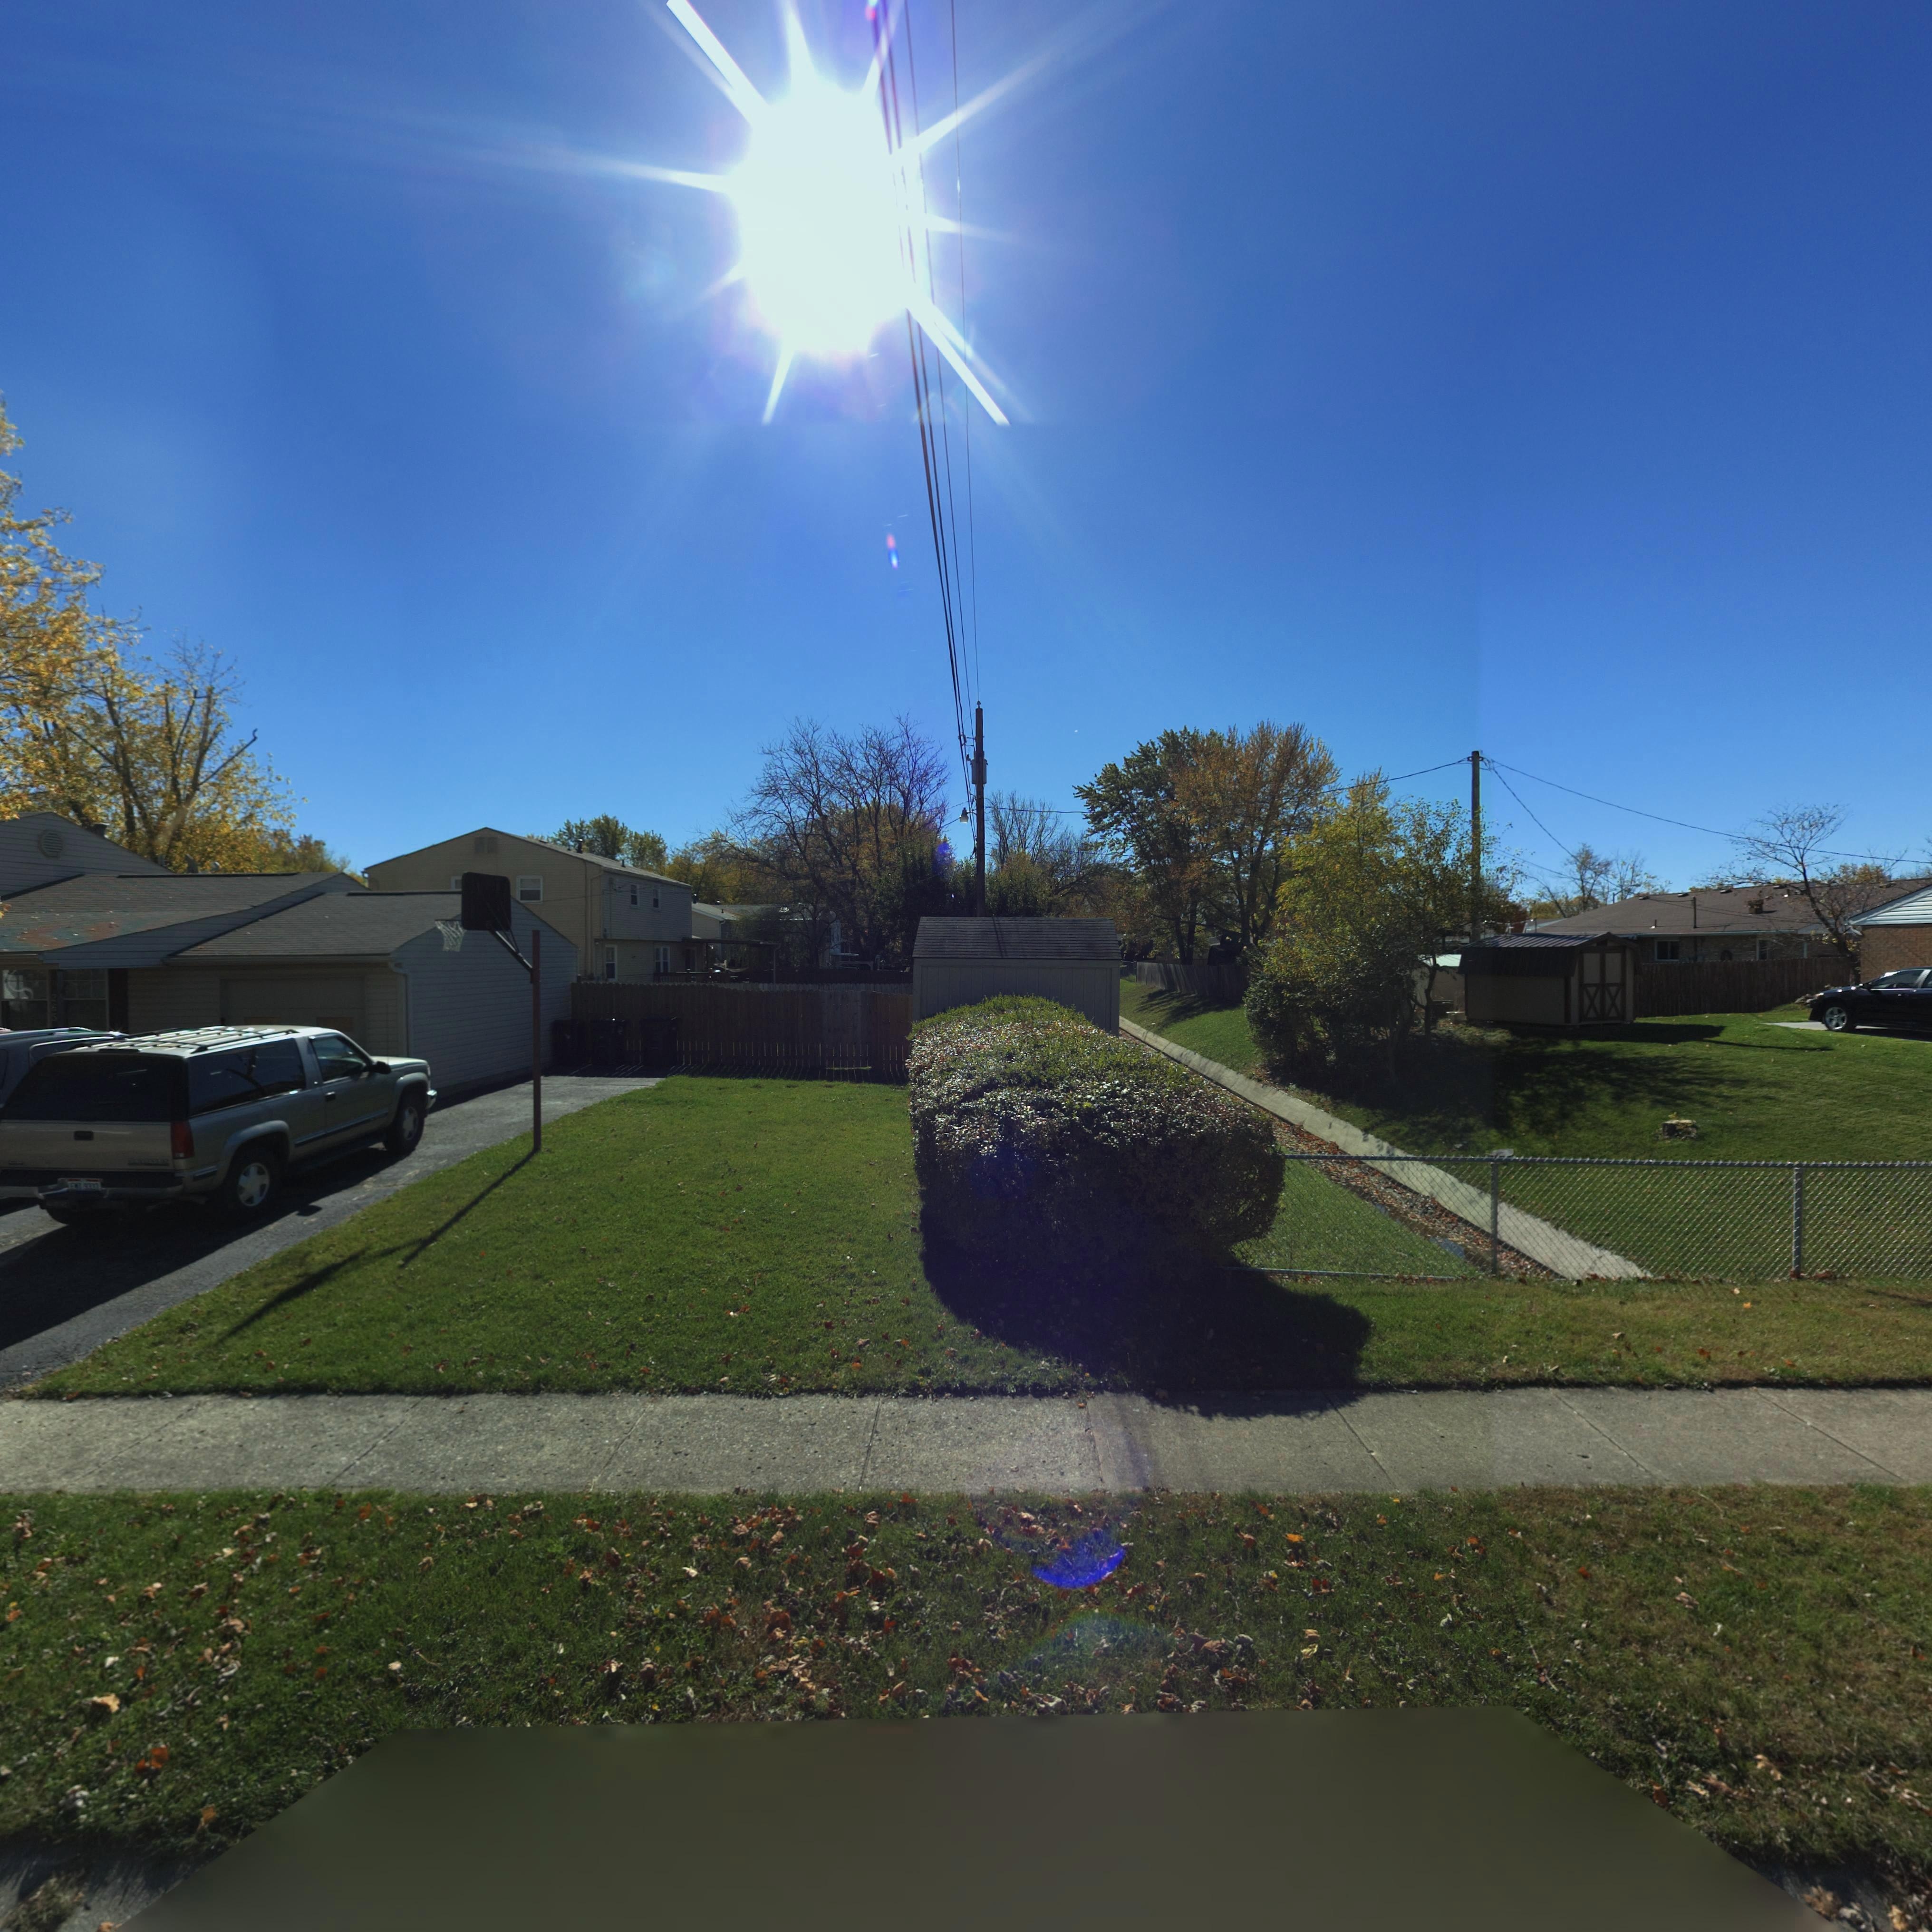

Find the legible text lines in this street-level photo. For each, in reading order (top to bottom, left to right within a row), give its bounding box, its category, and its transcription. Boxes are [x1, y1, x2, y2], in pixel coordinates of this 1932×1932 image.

[51, 993, 58, 1022] StreetNumber: 265